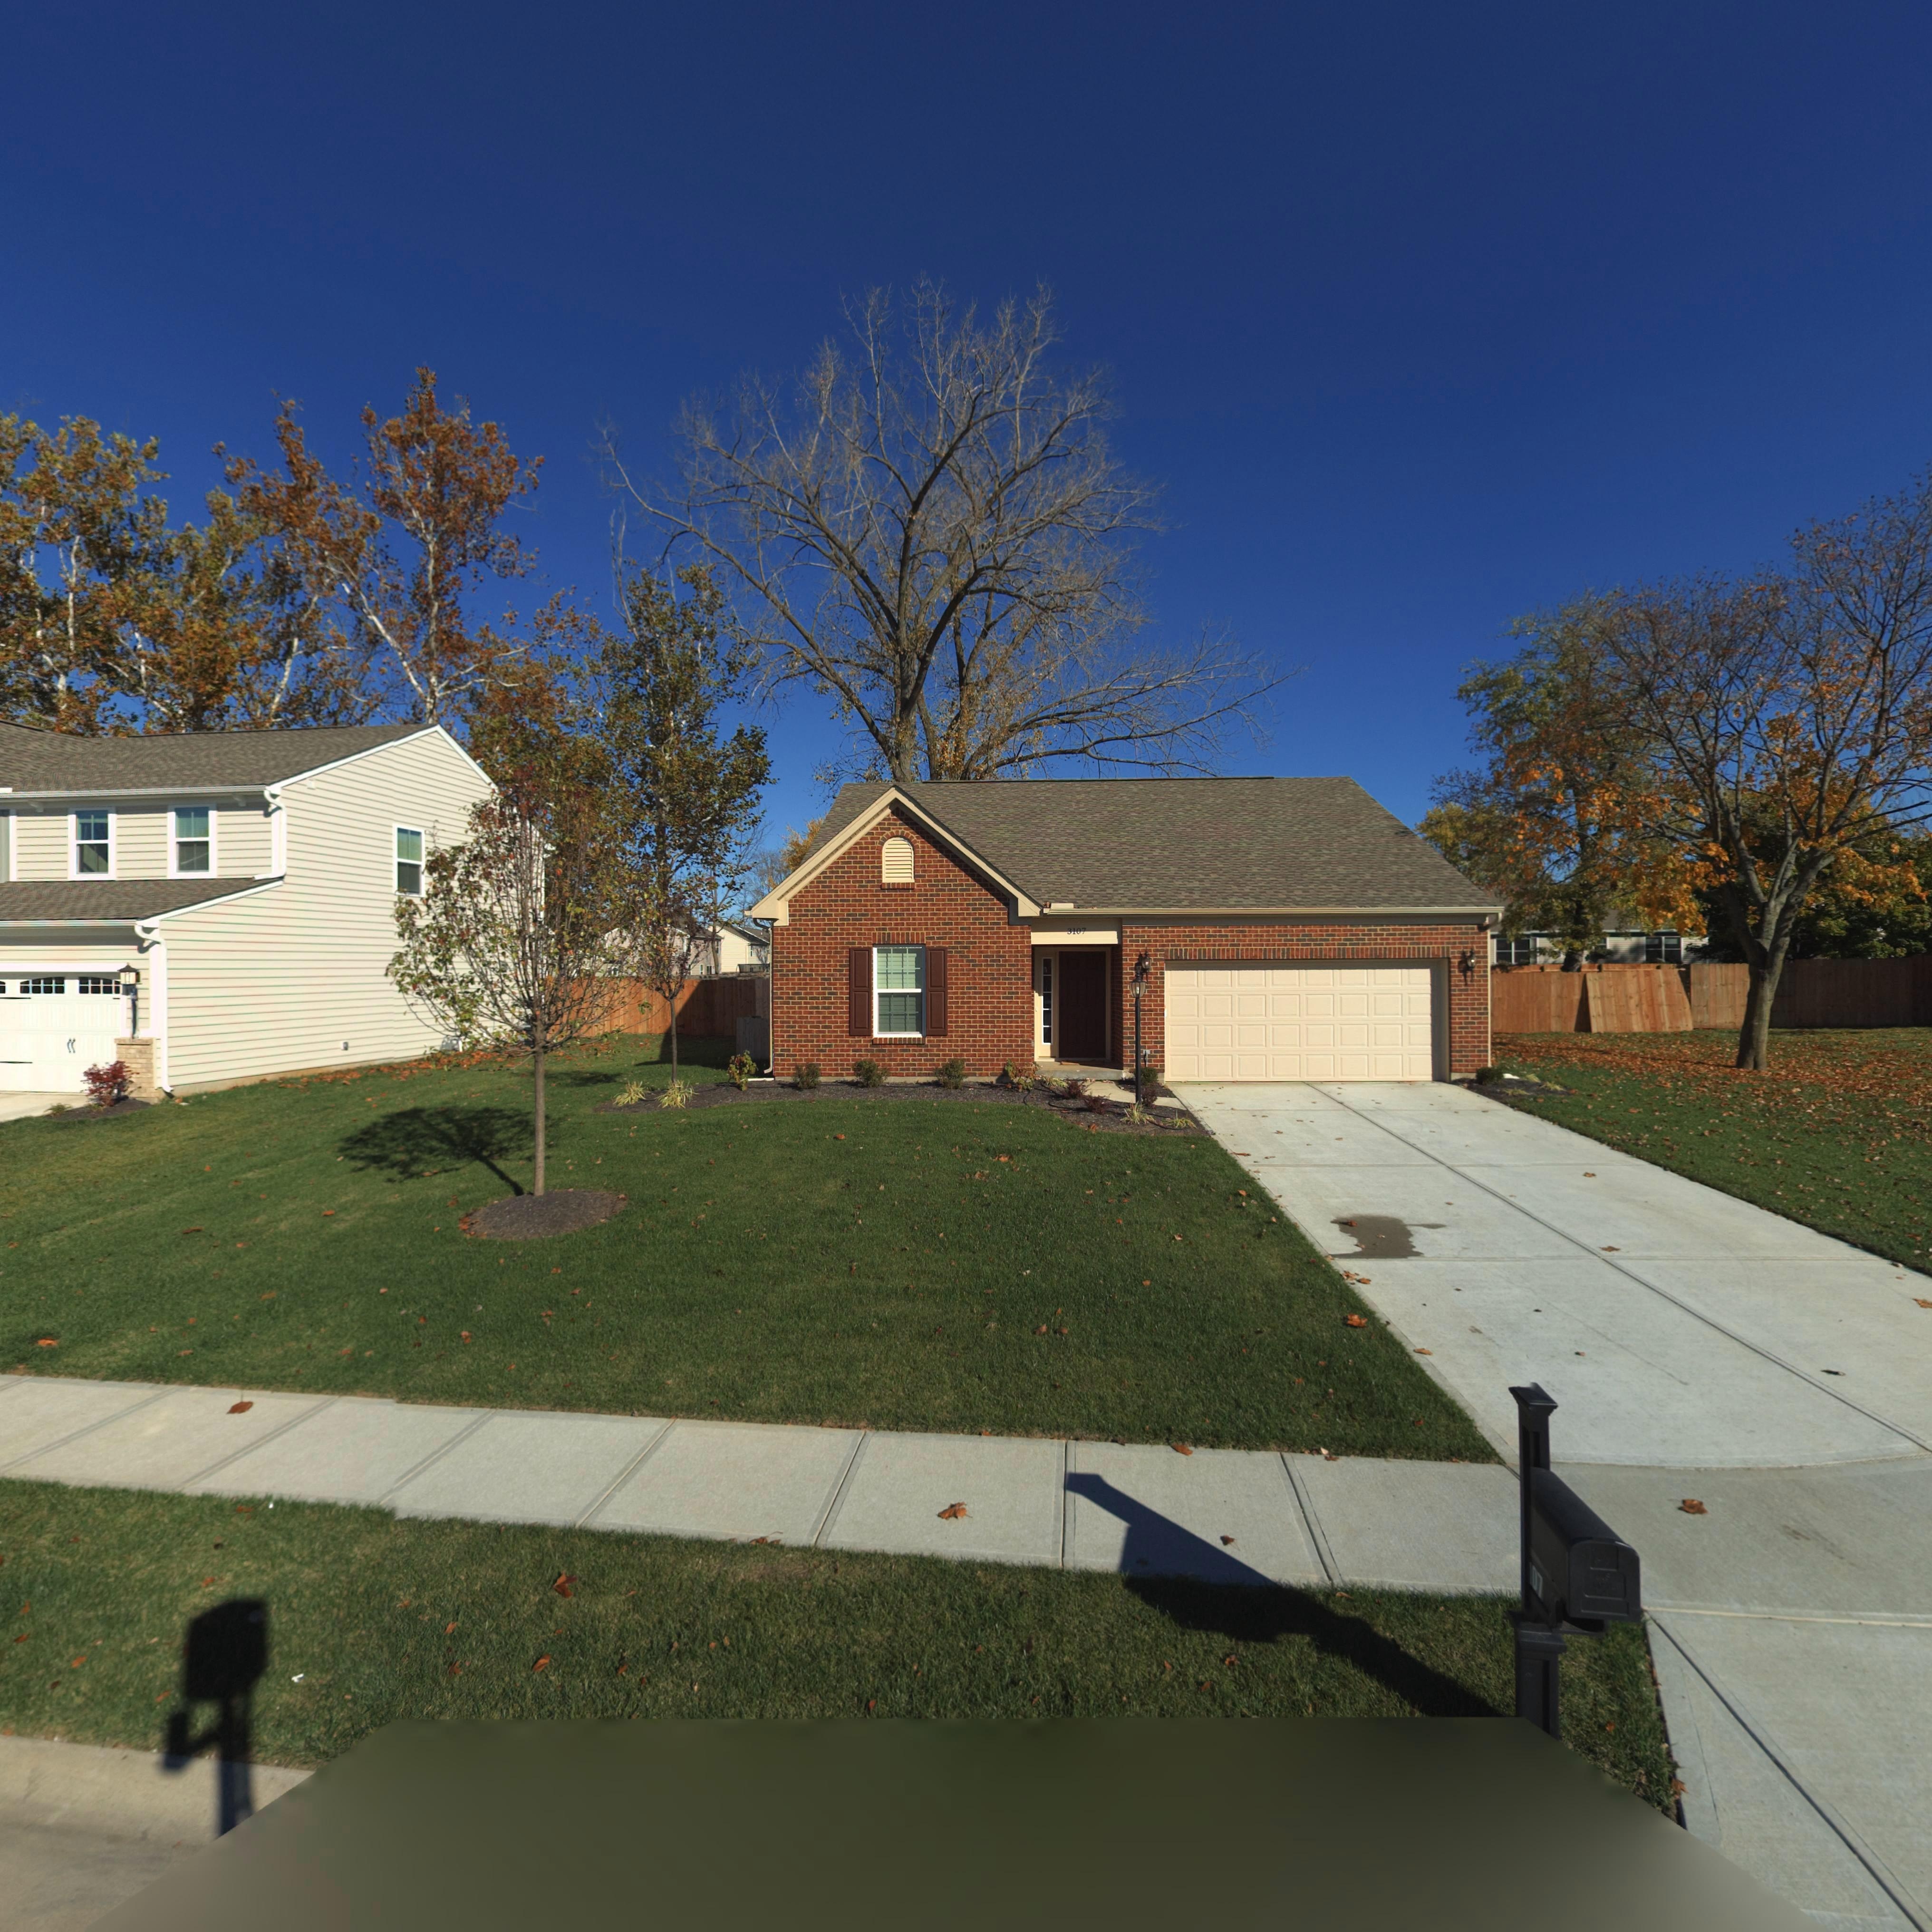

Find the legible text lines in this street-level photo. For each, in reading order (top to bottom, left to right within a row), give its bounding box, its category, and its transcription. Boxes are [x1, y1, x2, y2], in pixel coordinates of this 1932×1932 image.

[1066, 927, 1087, 935] StreetNumber: 3107
[1531, 1563, 1544, 1601] StreetNumber: 07